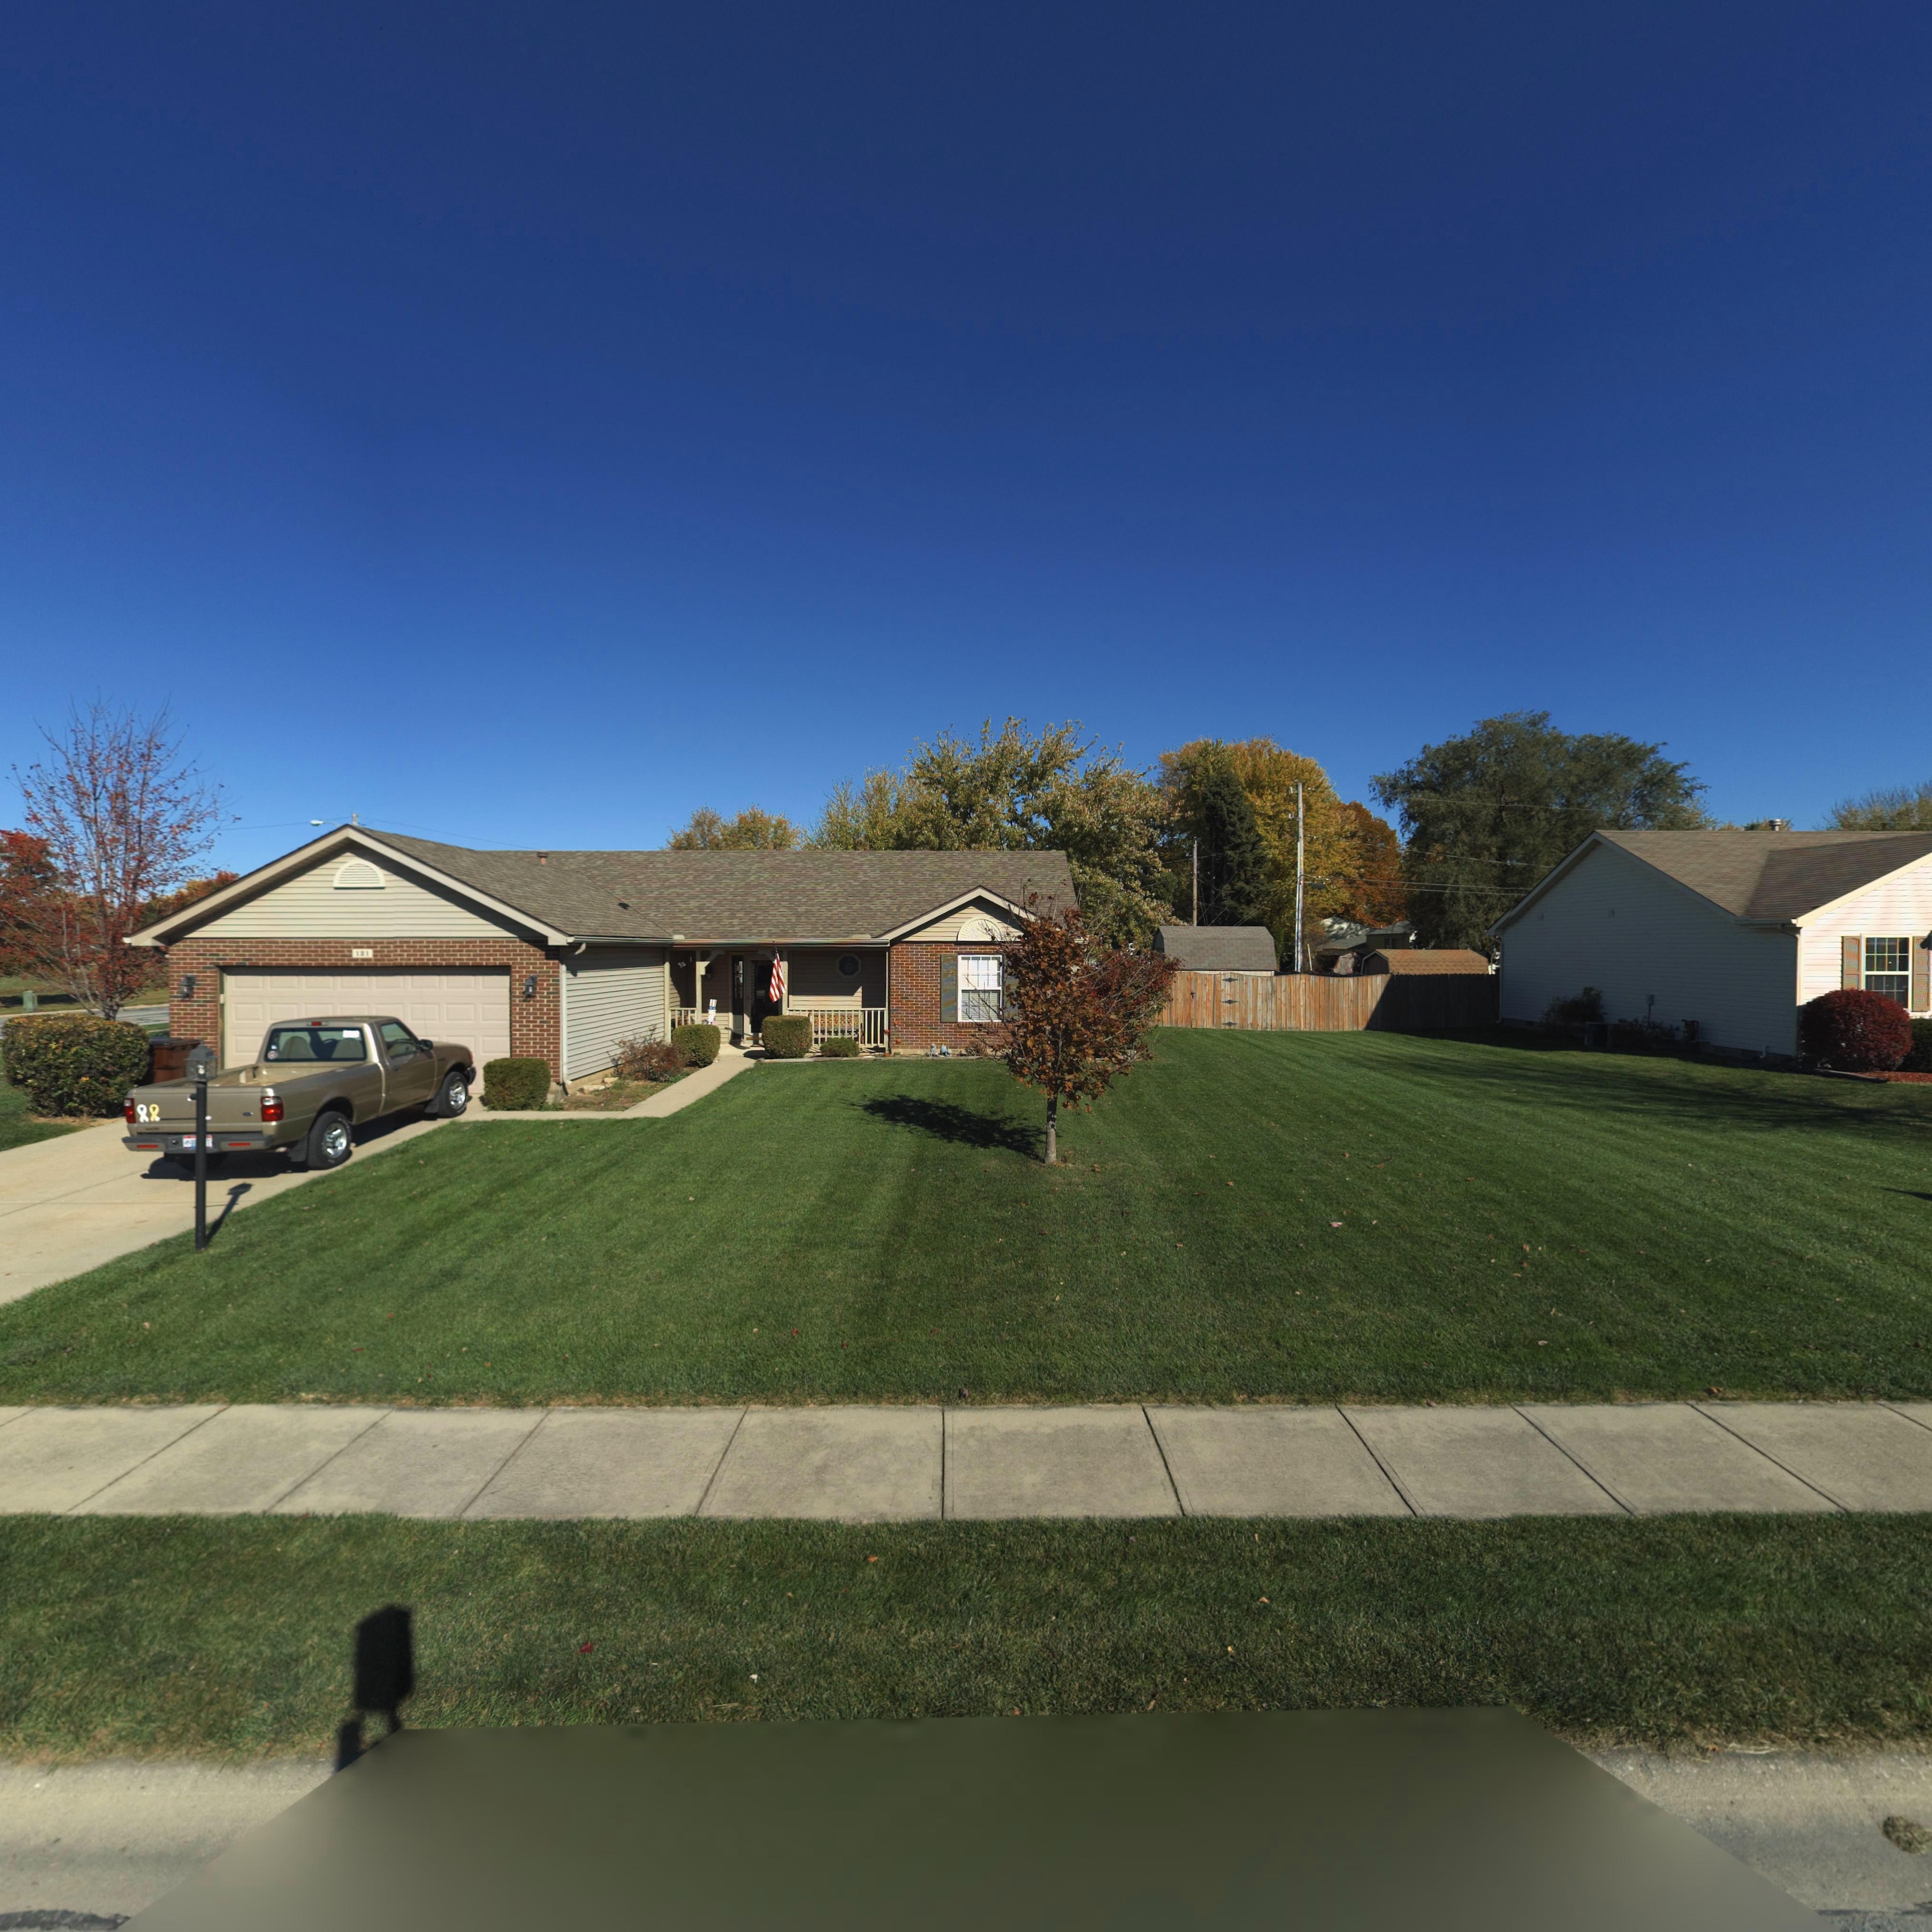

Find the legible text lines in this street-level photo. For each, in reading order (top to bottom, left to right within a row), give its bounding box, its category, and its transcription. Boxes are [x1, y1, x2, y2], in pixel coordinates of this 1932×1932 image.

[355, 950, 370, 956] StreetNumber: 121